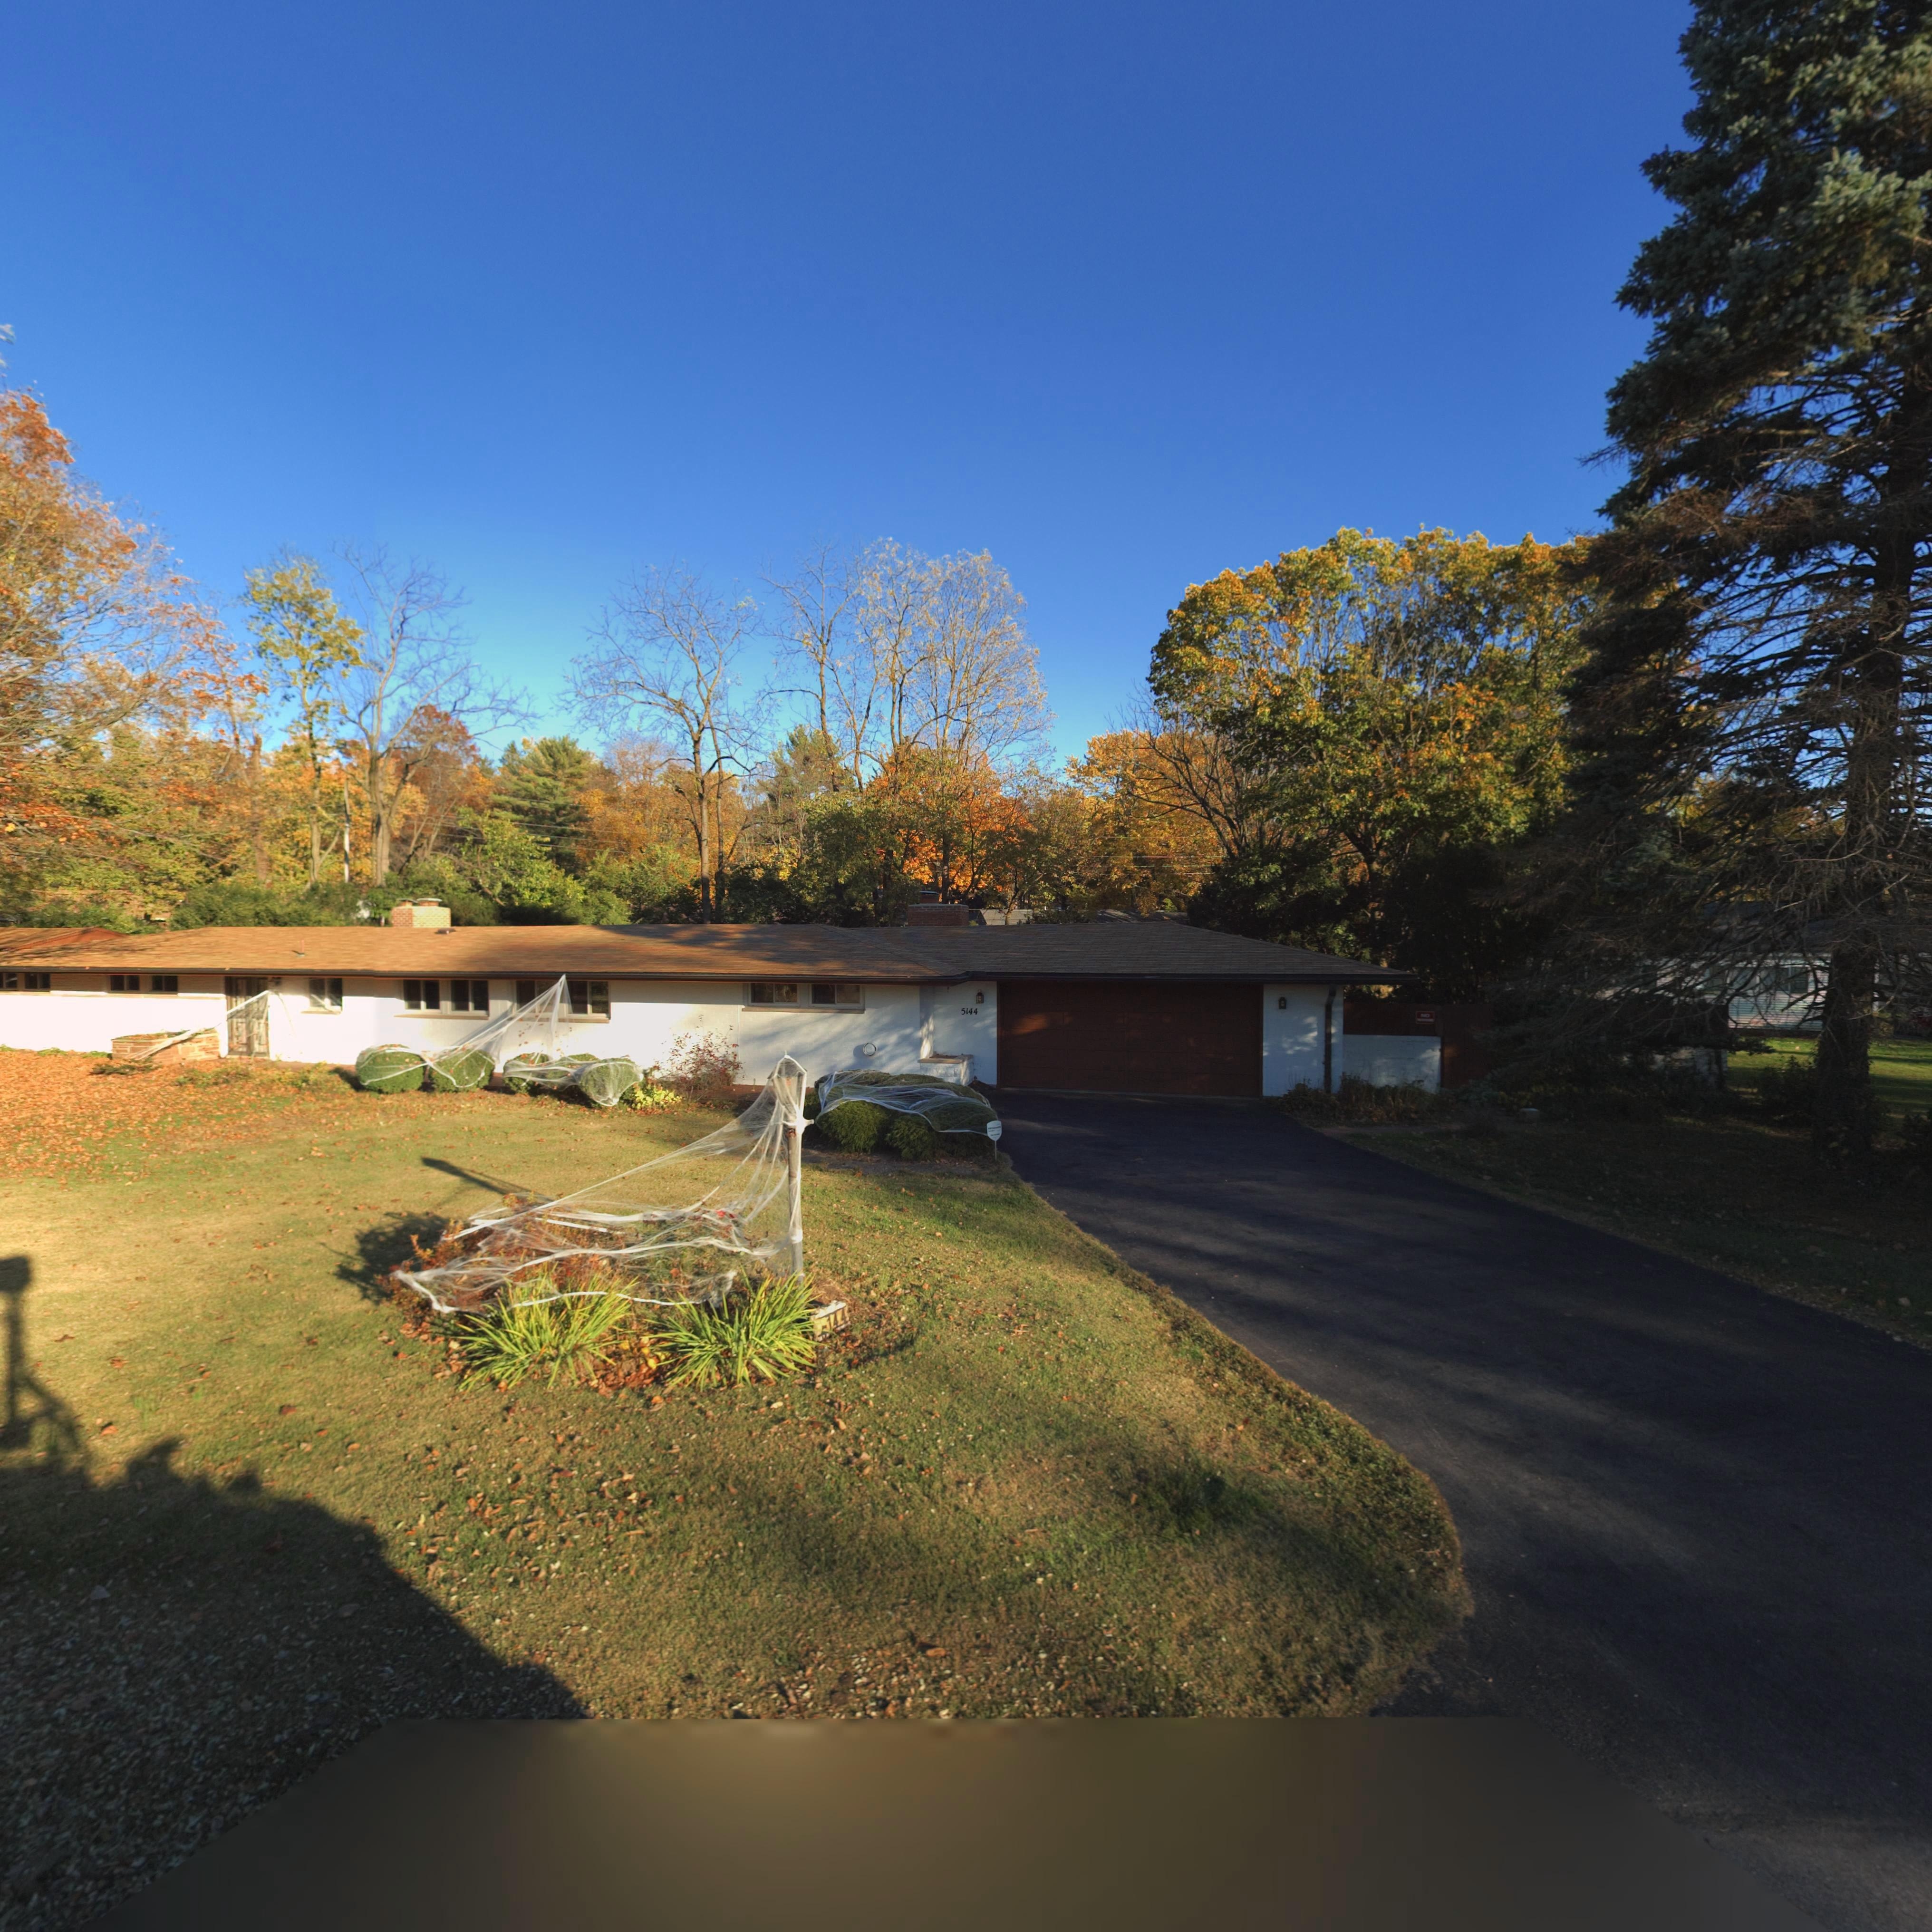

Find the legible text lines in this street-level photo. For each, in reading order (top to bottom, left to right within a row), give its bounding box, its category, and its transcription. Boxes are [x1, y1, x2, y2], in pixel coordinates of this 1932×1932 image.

[961, 1007, 979, 1016] StreetNumber: 5144
[825, 1307, 848, 1333] StreetNumber: 144